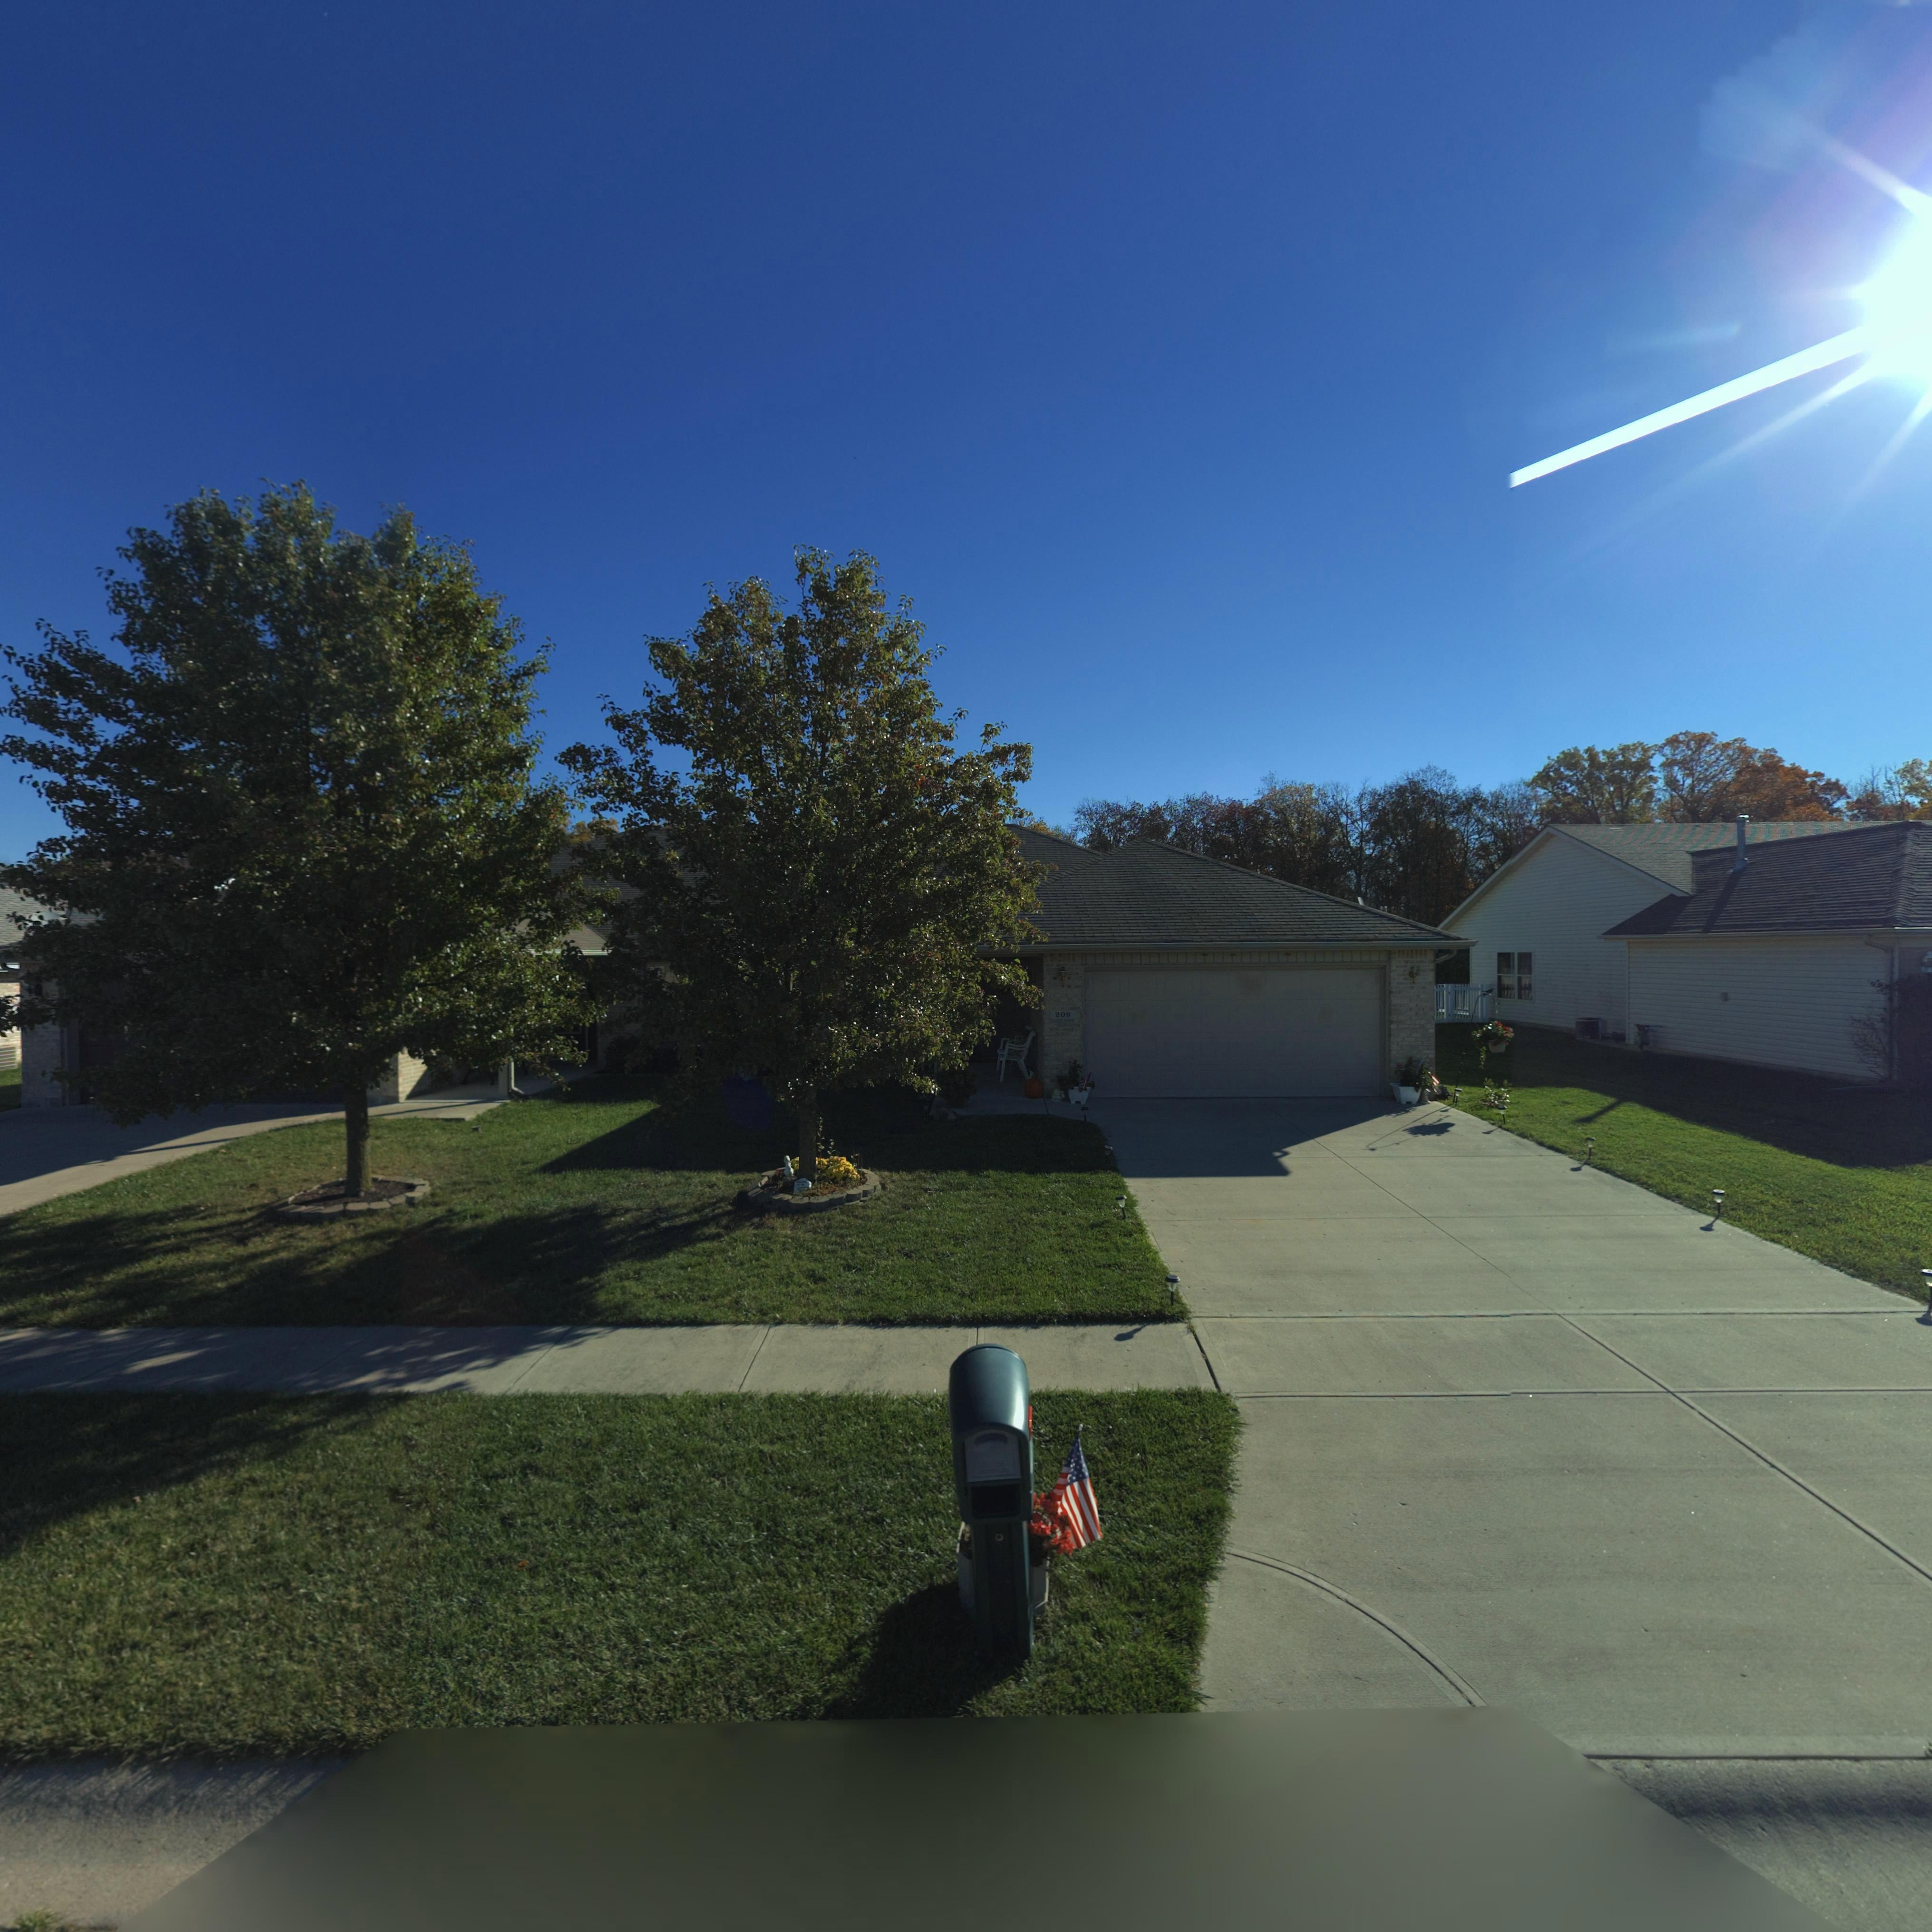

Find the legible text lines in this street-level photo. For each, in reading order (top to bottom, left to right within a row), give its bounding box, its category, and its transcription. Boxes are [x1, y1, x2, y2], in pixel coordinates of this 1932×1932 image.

[1054, 1011, 1071, 1018] StreetNumber: 20*